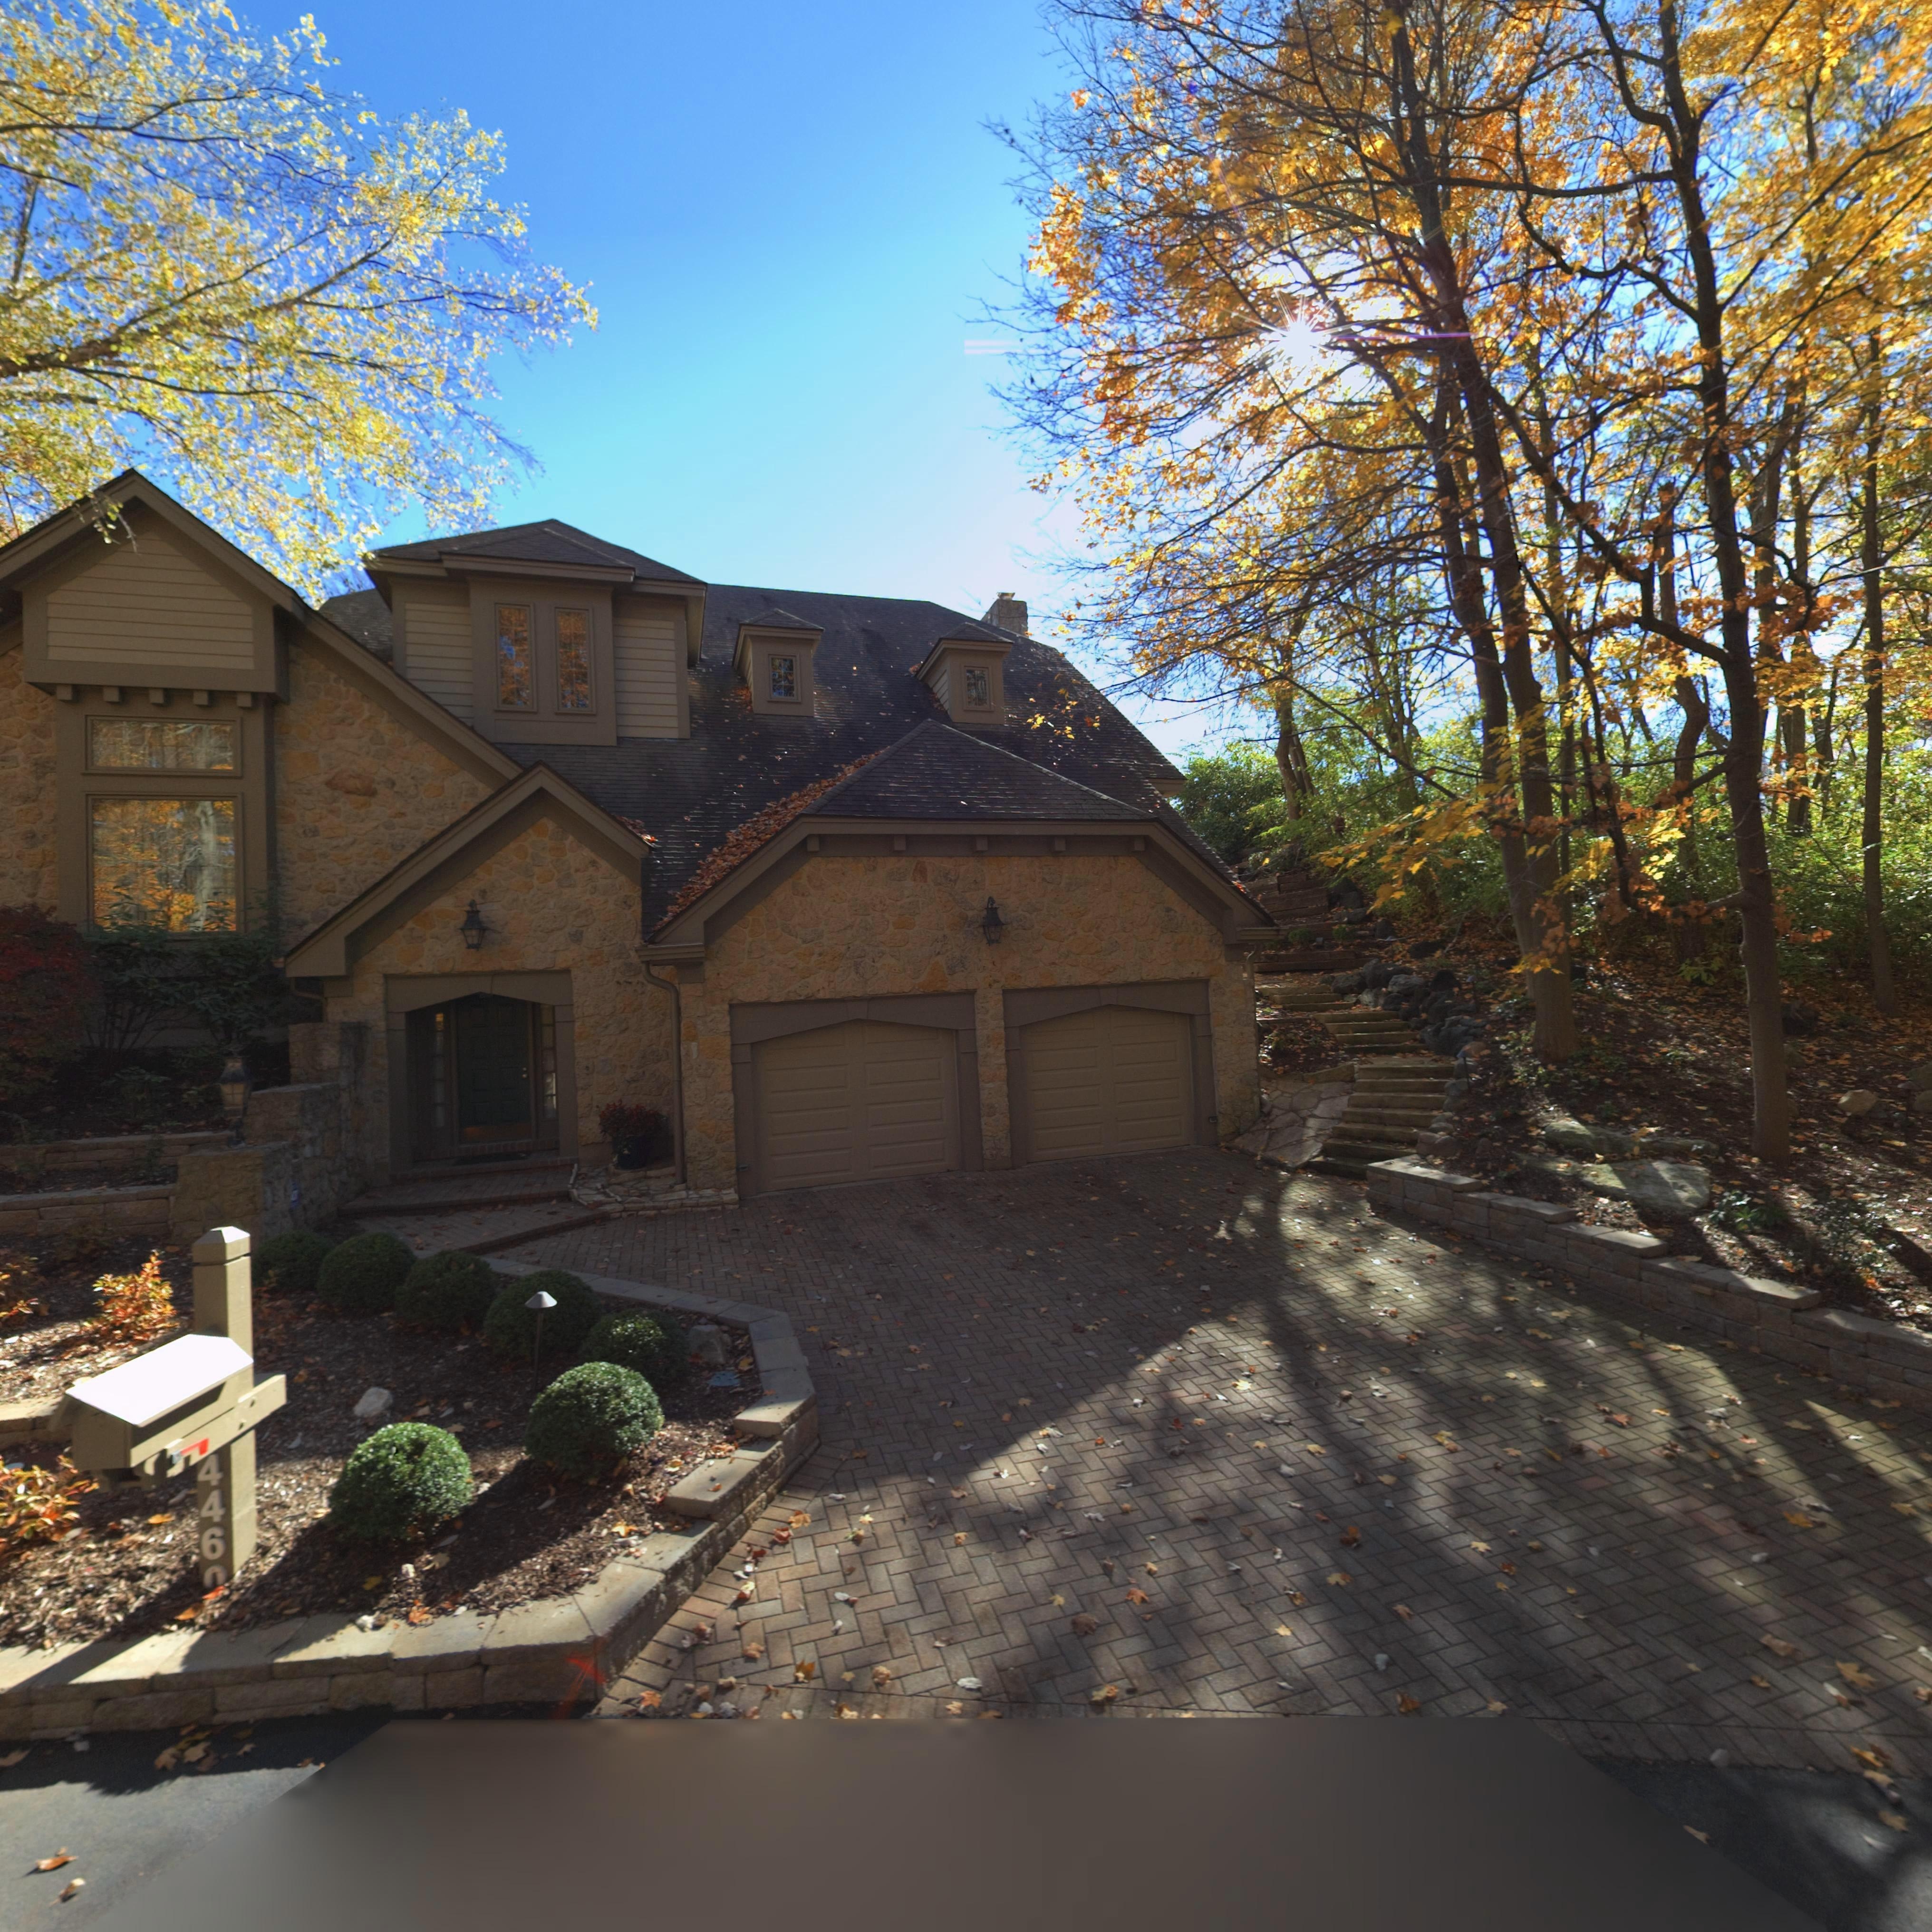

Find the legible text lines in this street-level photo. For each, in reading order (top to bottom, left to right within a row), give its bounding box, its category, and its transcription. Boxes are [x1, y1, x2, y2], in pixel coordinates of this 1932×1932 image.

[193, 1448, 232, 1564] StreetNumber: 446